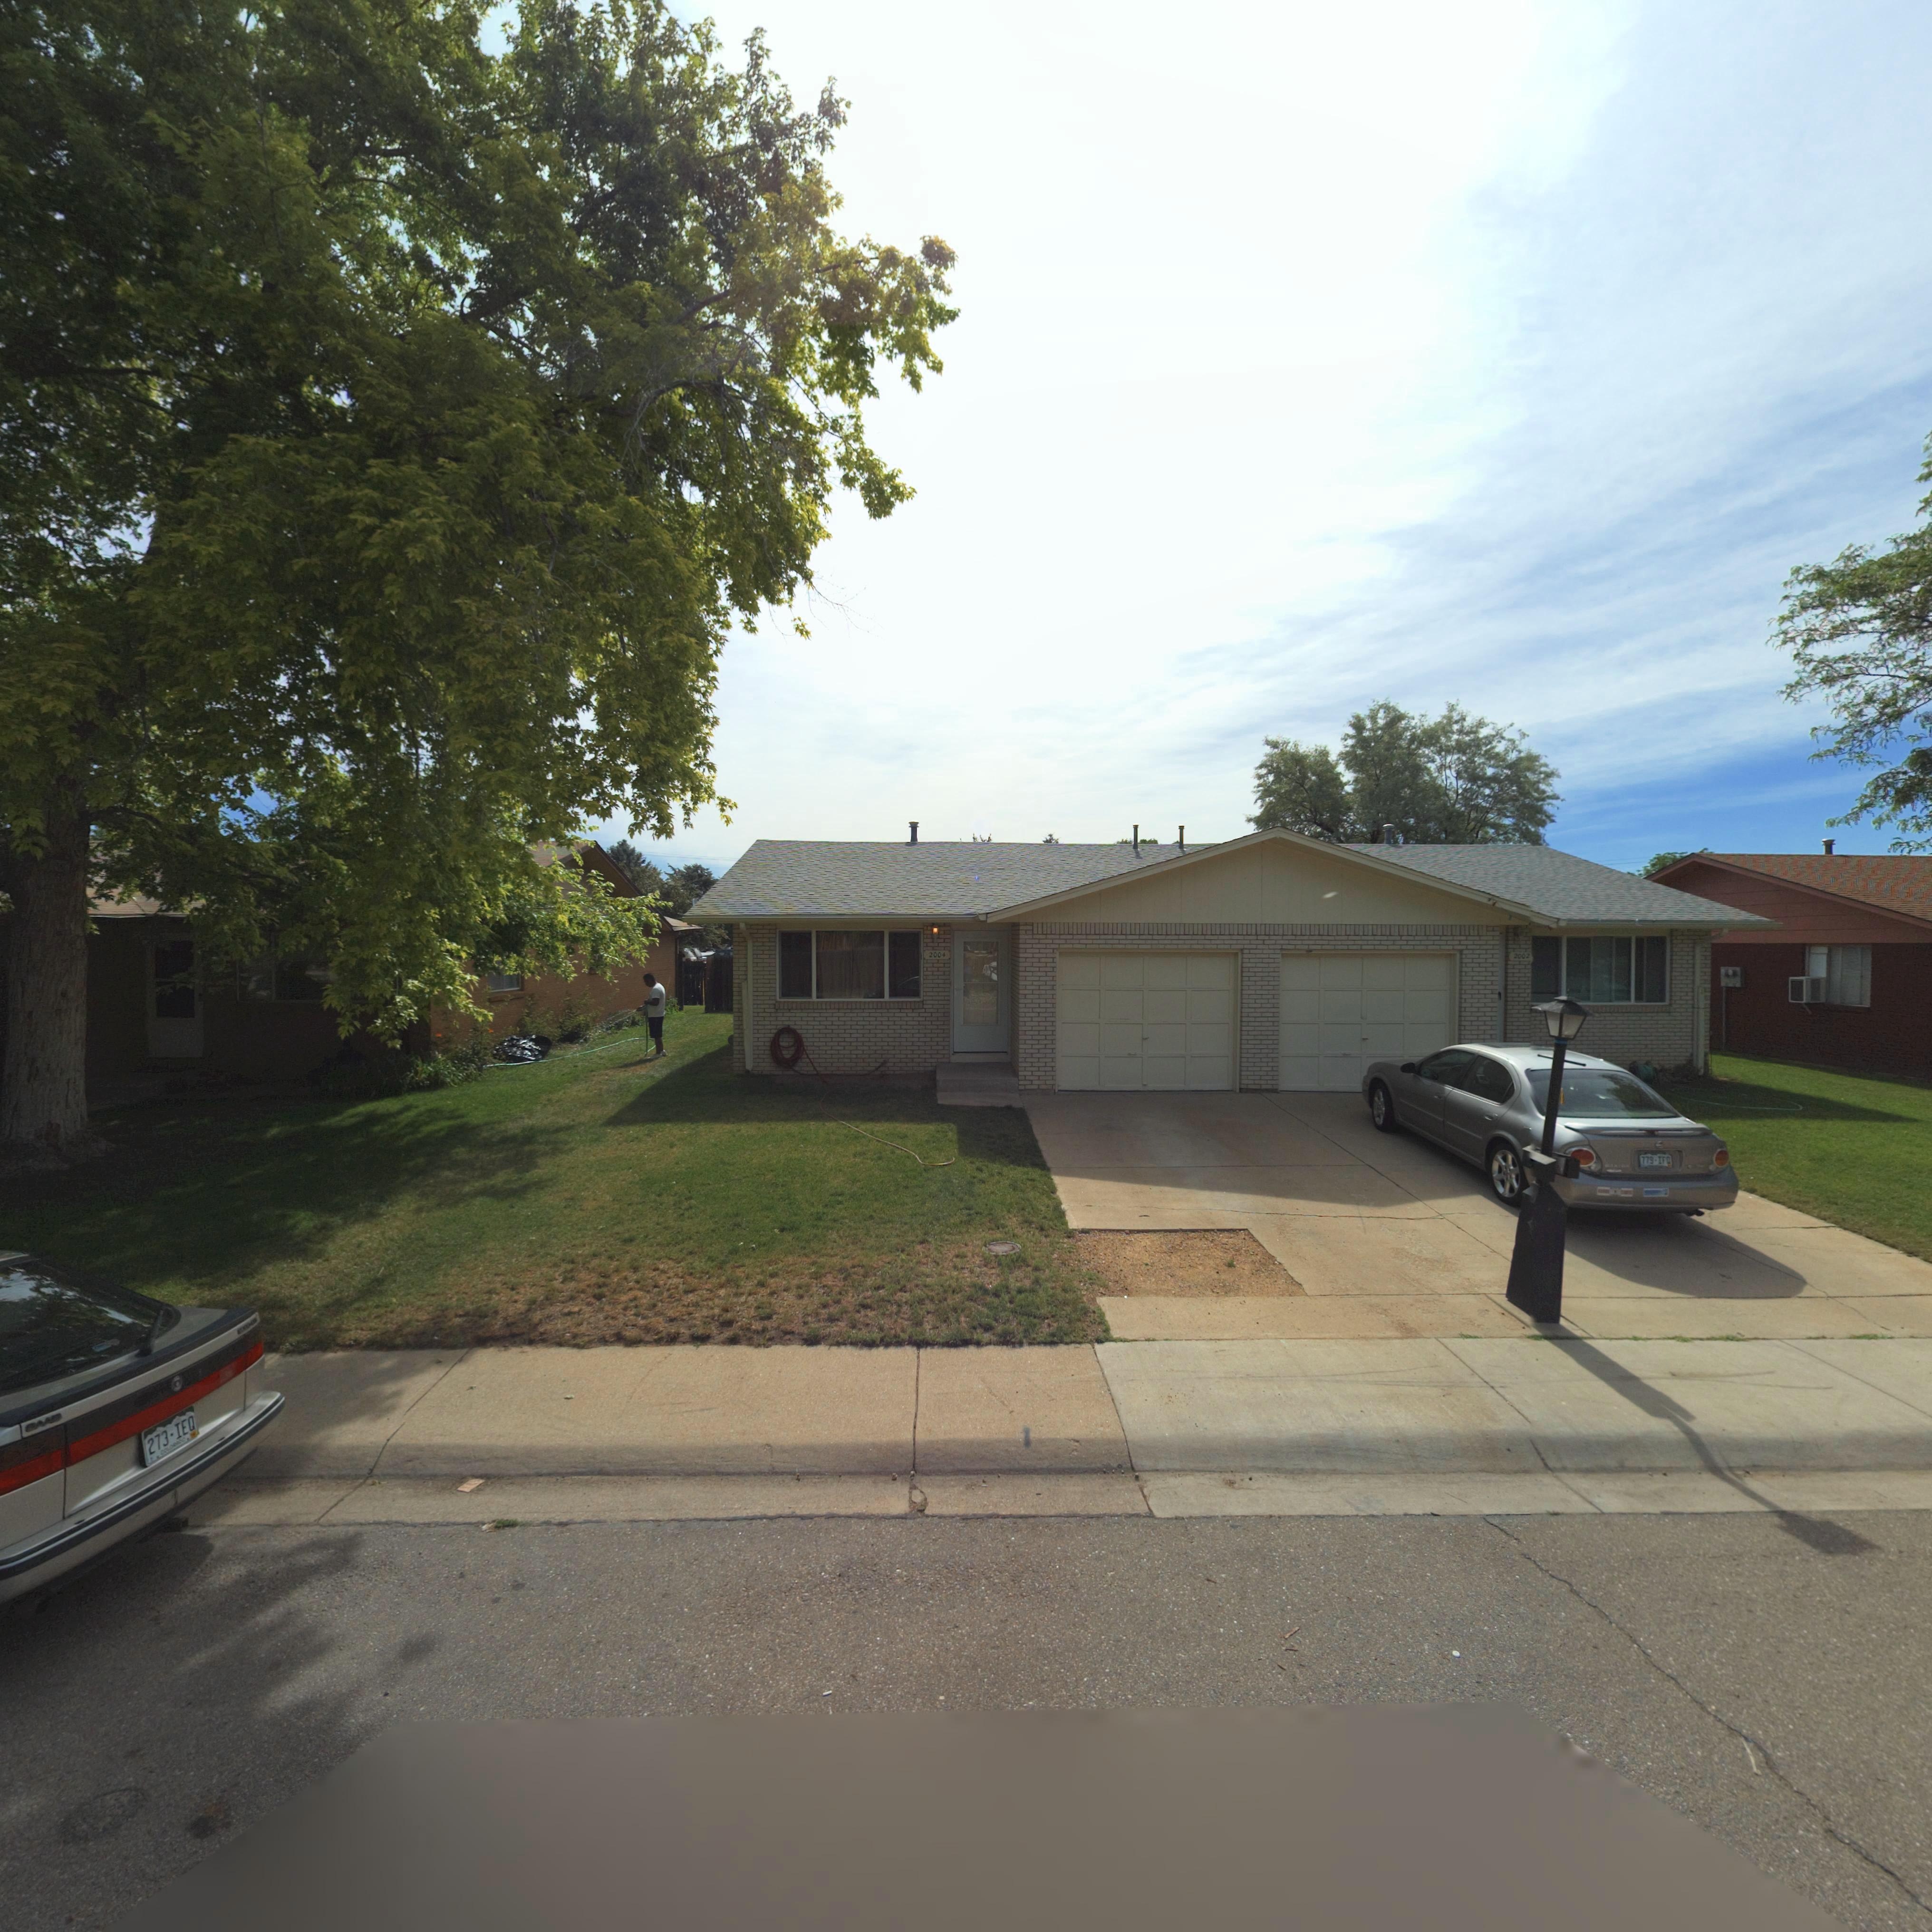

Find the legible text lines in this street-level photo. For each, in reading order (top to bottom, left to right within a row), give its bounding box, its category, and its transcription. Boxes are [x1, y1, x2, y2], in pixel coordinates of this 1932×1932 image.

[928, 951, 946, 958] StreetNumber: 2004
[1513, 953, 1530, 959] StreetNumber: 2002